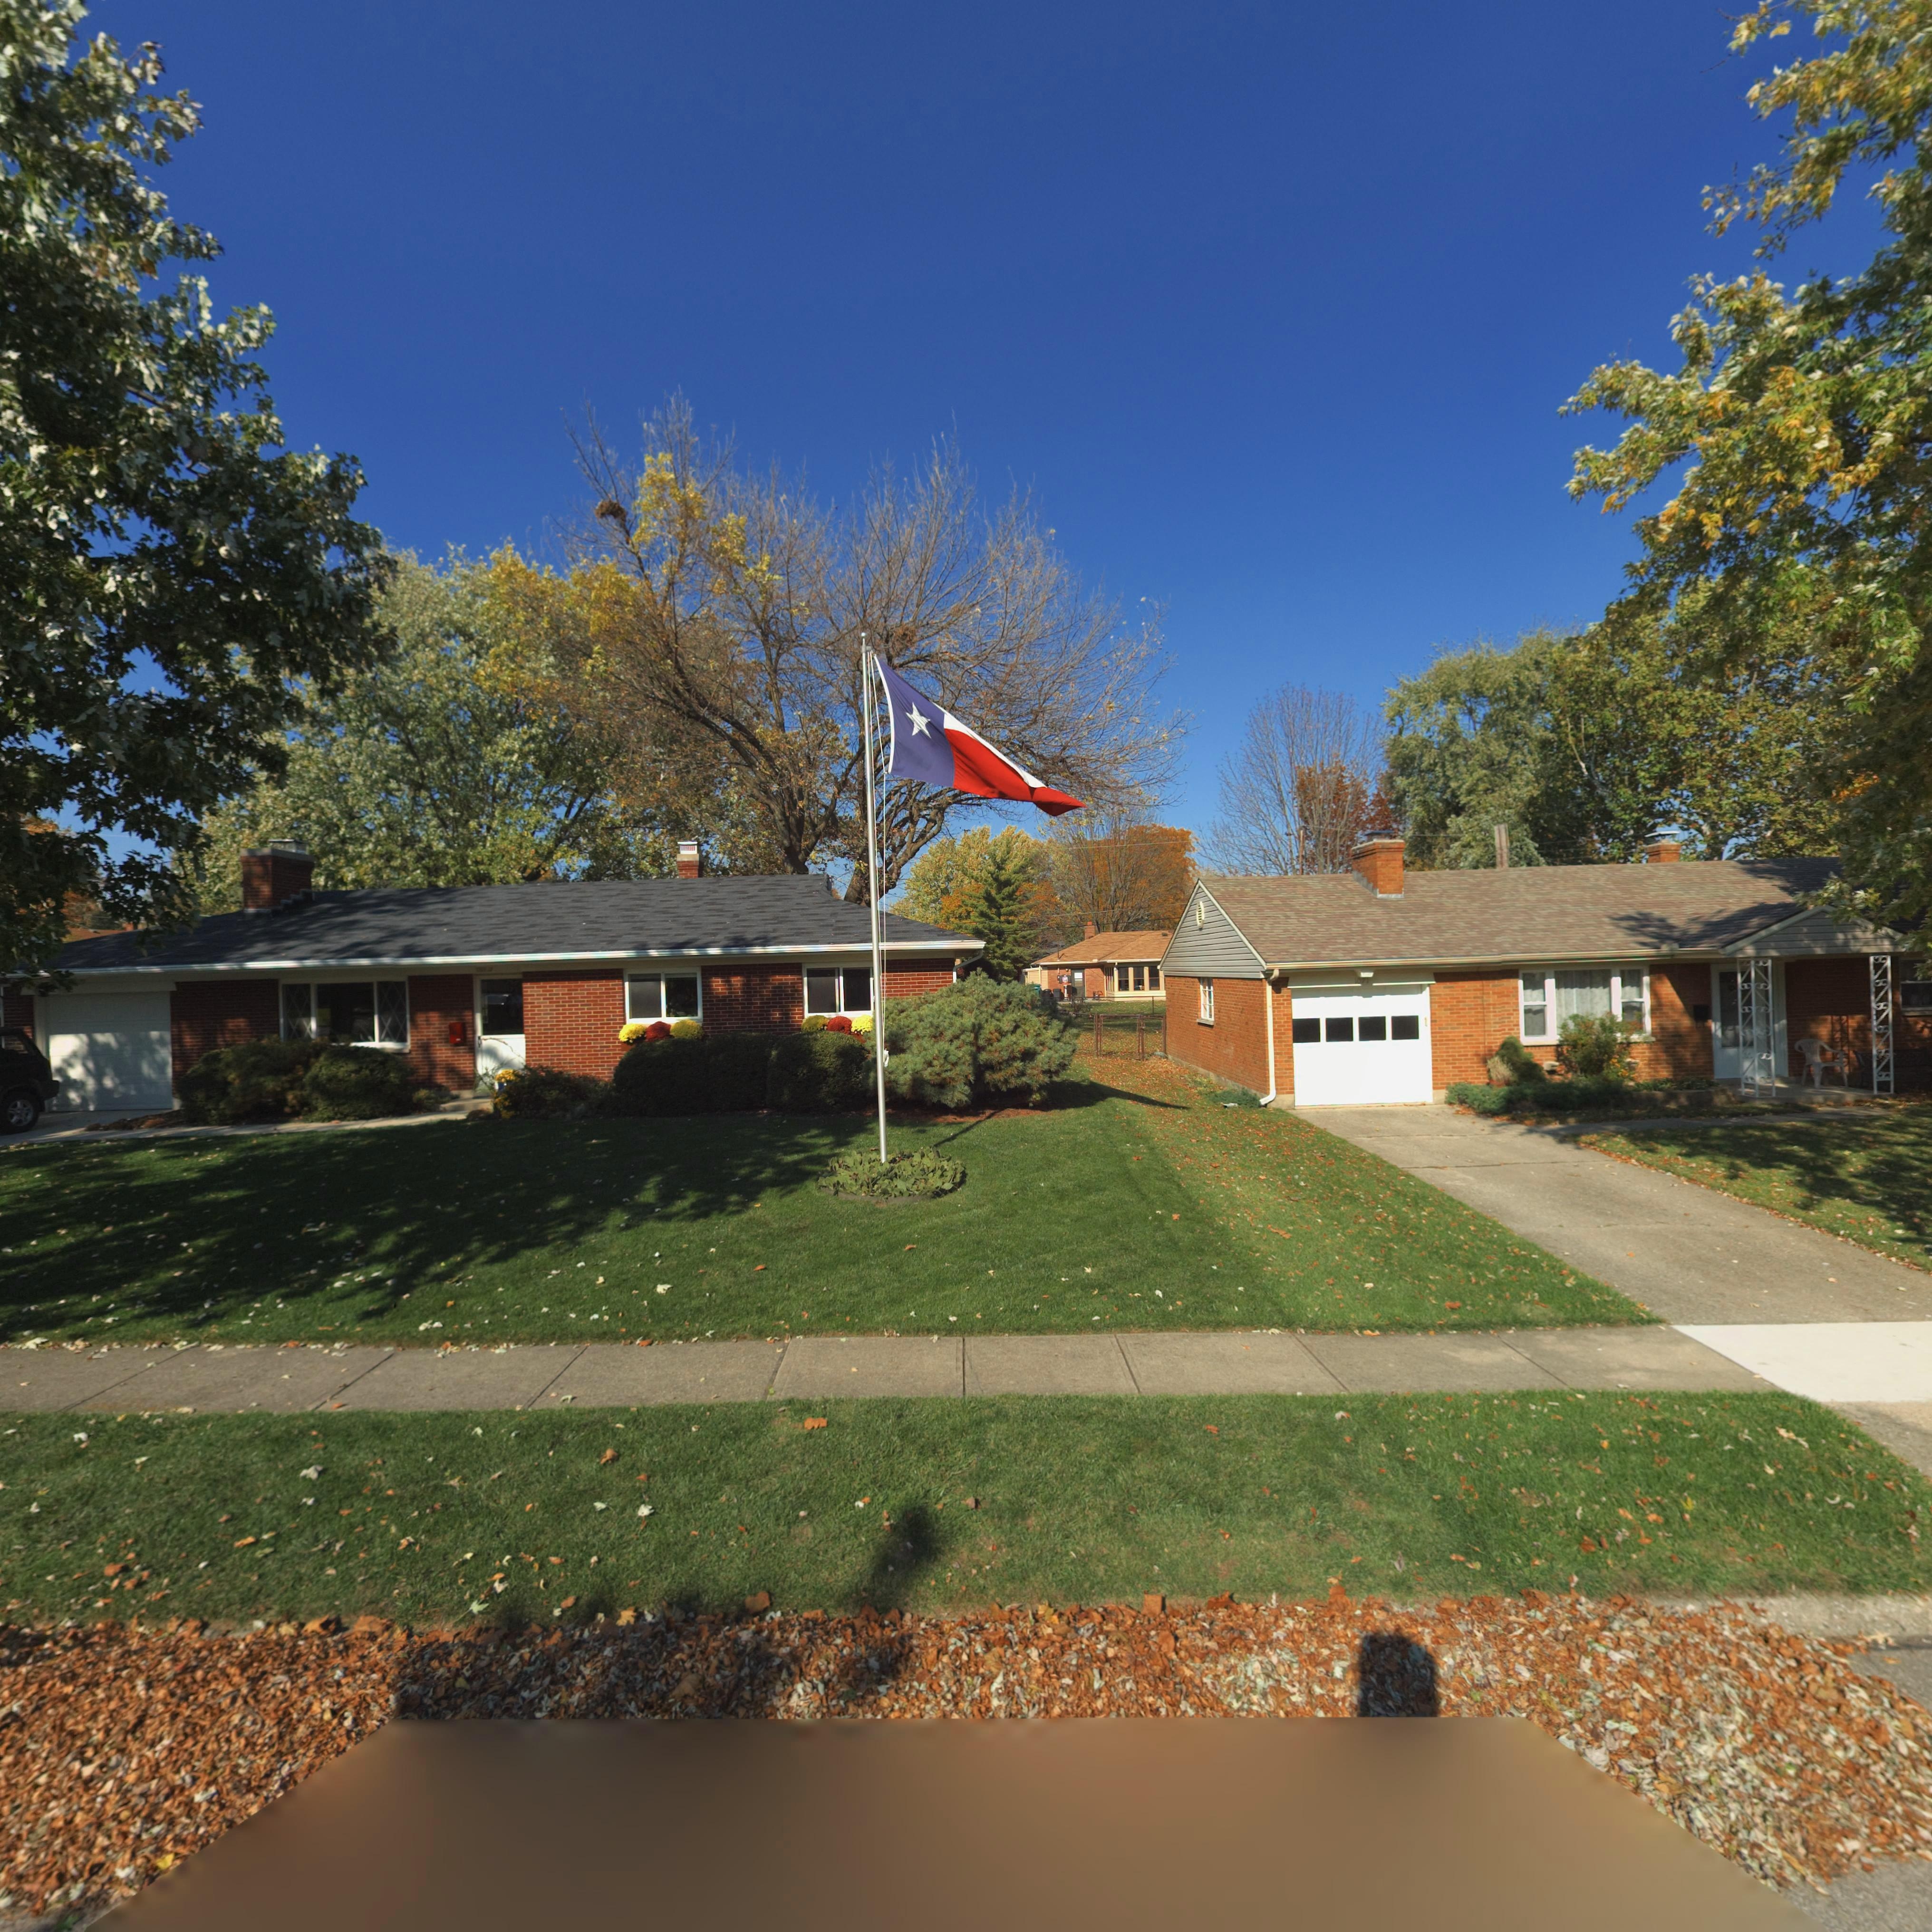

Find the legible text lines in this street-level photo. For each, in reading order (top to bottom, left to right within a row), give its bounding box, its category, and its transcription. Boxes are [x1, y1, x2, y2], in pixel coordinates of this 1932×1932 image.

[1353, 977, 1369, 984] StreetNumber: 1071